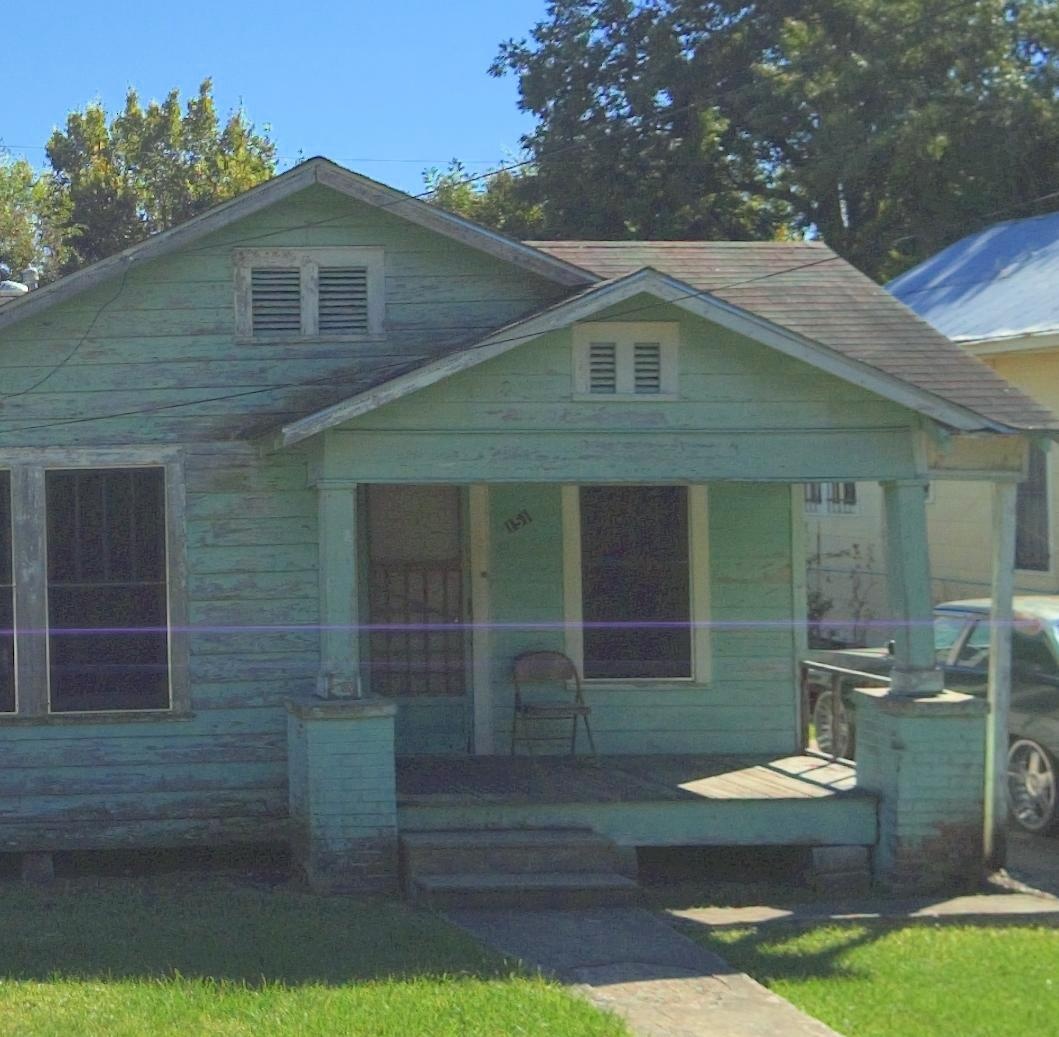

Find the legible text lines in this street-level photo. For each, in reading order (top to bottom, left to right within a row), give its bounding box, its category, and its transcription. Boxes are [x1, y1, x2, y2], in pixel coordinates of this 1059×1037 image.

[502, 509, 534, 537] StreetNumber: 151